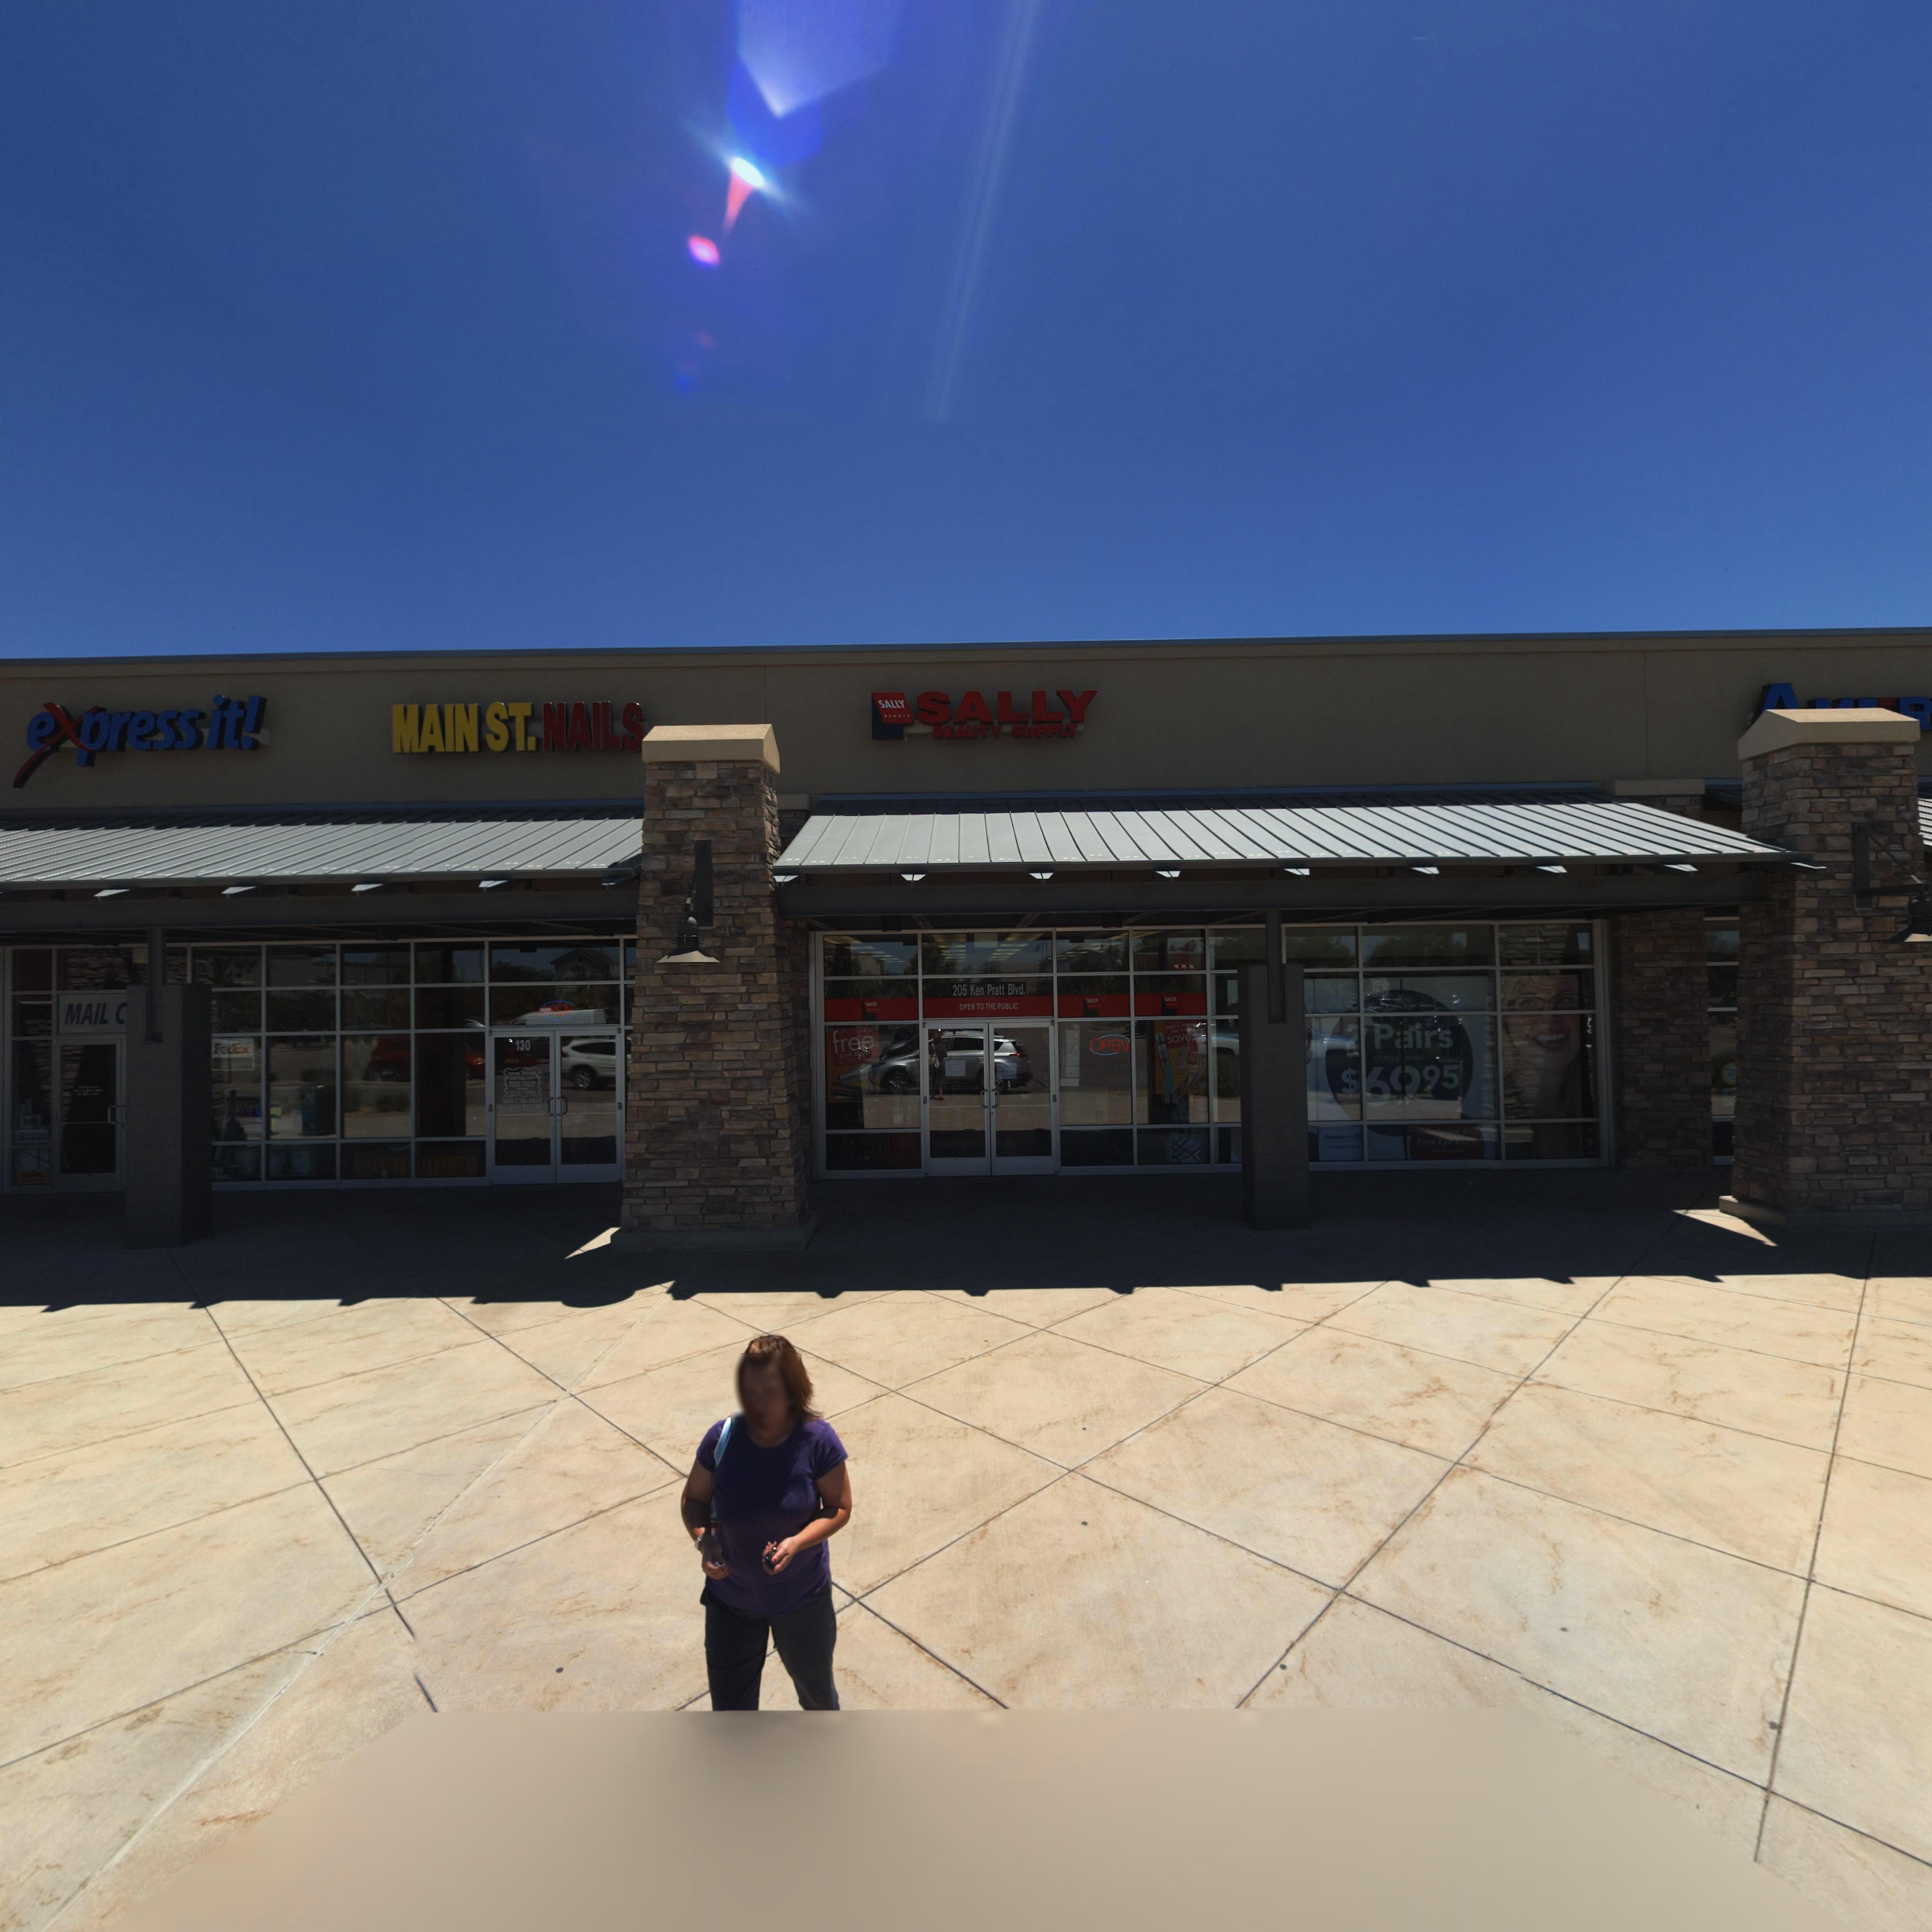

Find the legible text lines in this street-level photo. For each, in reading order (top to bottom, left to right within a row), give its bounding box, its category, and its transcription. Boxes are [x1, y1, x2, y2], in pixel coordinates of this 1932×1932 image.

[878, 699, 905, 708] BusinessName: SALLY
[916, 689, 1098, 724] BusinessName: SALLY
[884, 714, 910, 717] BusinessName: BEAUTY
[391, 699, 645, 753] BusinessName: MAIN ST. NAILS
[933, 723, 1078, 738] StreetName: BEAUTY SUPPLY
[11, 695, 268, 789] BusinessName: express it!
[952, 984, 967, 996] StreetNumber: 205
[970, 983, 1025, 995] StreetName: Ken Pratt Blvd.
[864, 1001, 878, 1006] BusinessName: SALLY
[867, 1008, 879, 1010] BusinessName: BEAUTY
[1085, 998, 1098, 1002] BusinessName: SALLY
[1088, 1005, 1101, 1007] BusinessName: BEAUTY
[1164, 996, 1176, 1001] BusinessName: SALLY
[1166, 1003, 1179, 1005] BusinessName: BEAUTY
[515, 1039, 531, 1051] SecondaryUnitDesignator: 130
[1016, 1039, 1024, 1045] StreetNumberRange: 140
[505, 1056, 540, 1064] BusinessName: Main St. NAILS
[1323, 1133, 1363, 1140] BusinessName: AMERICA'S B